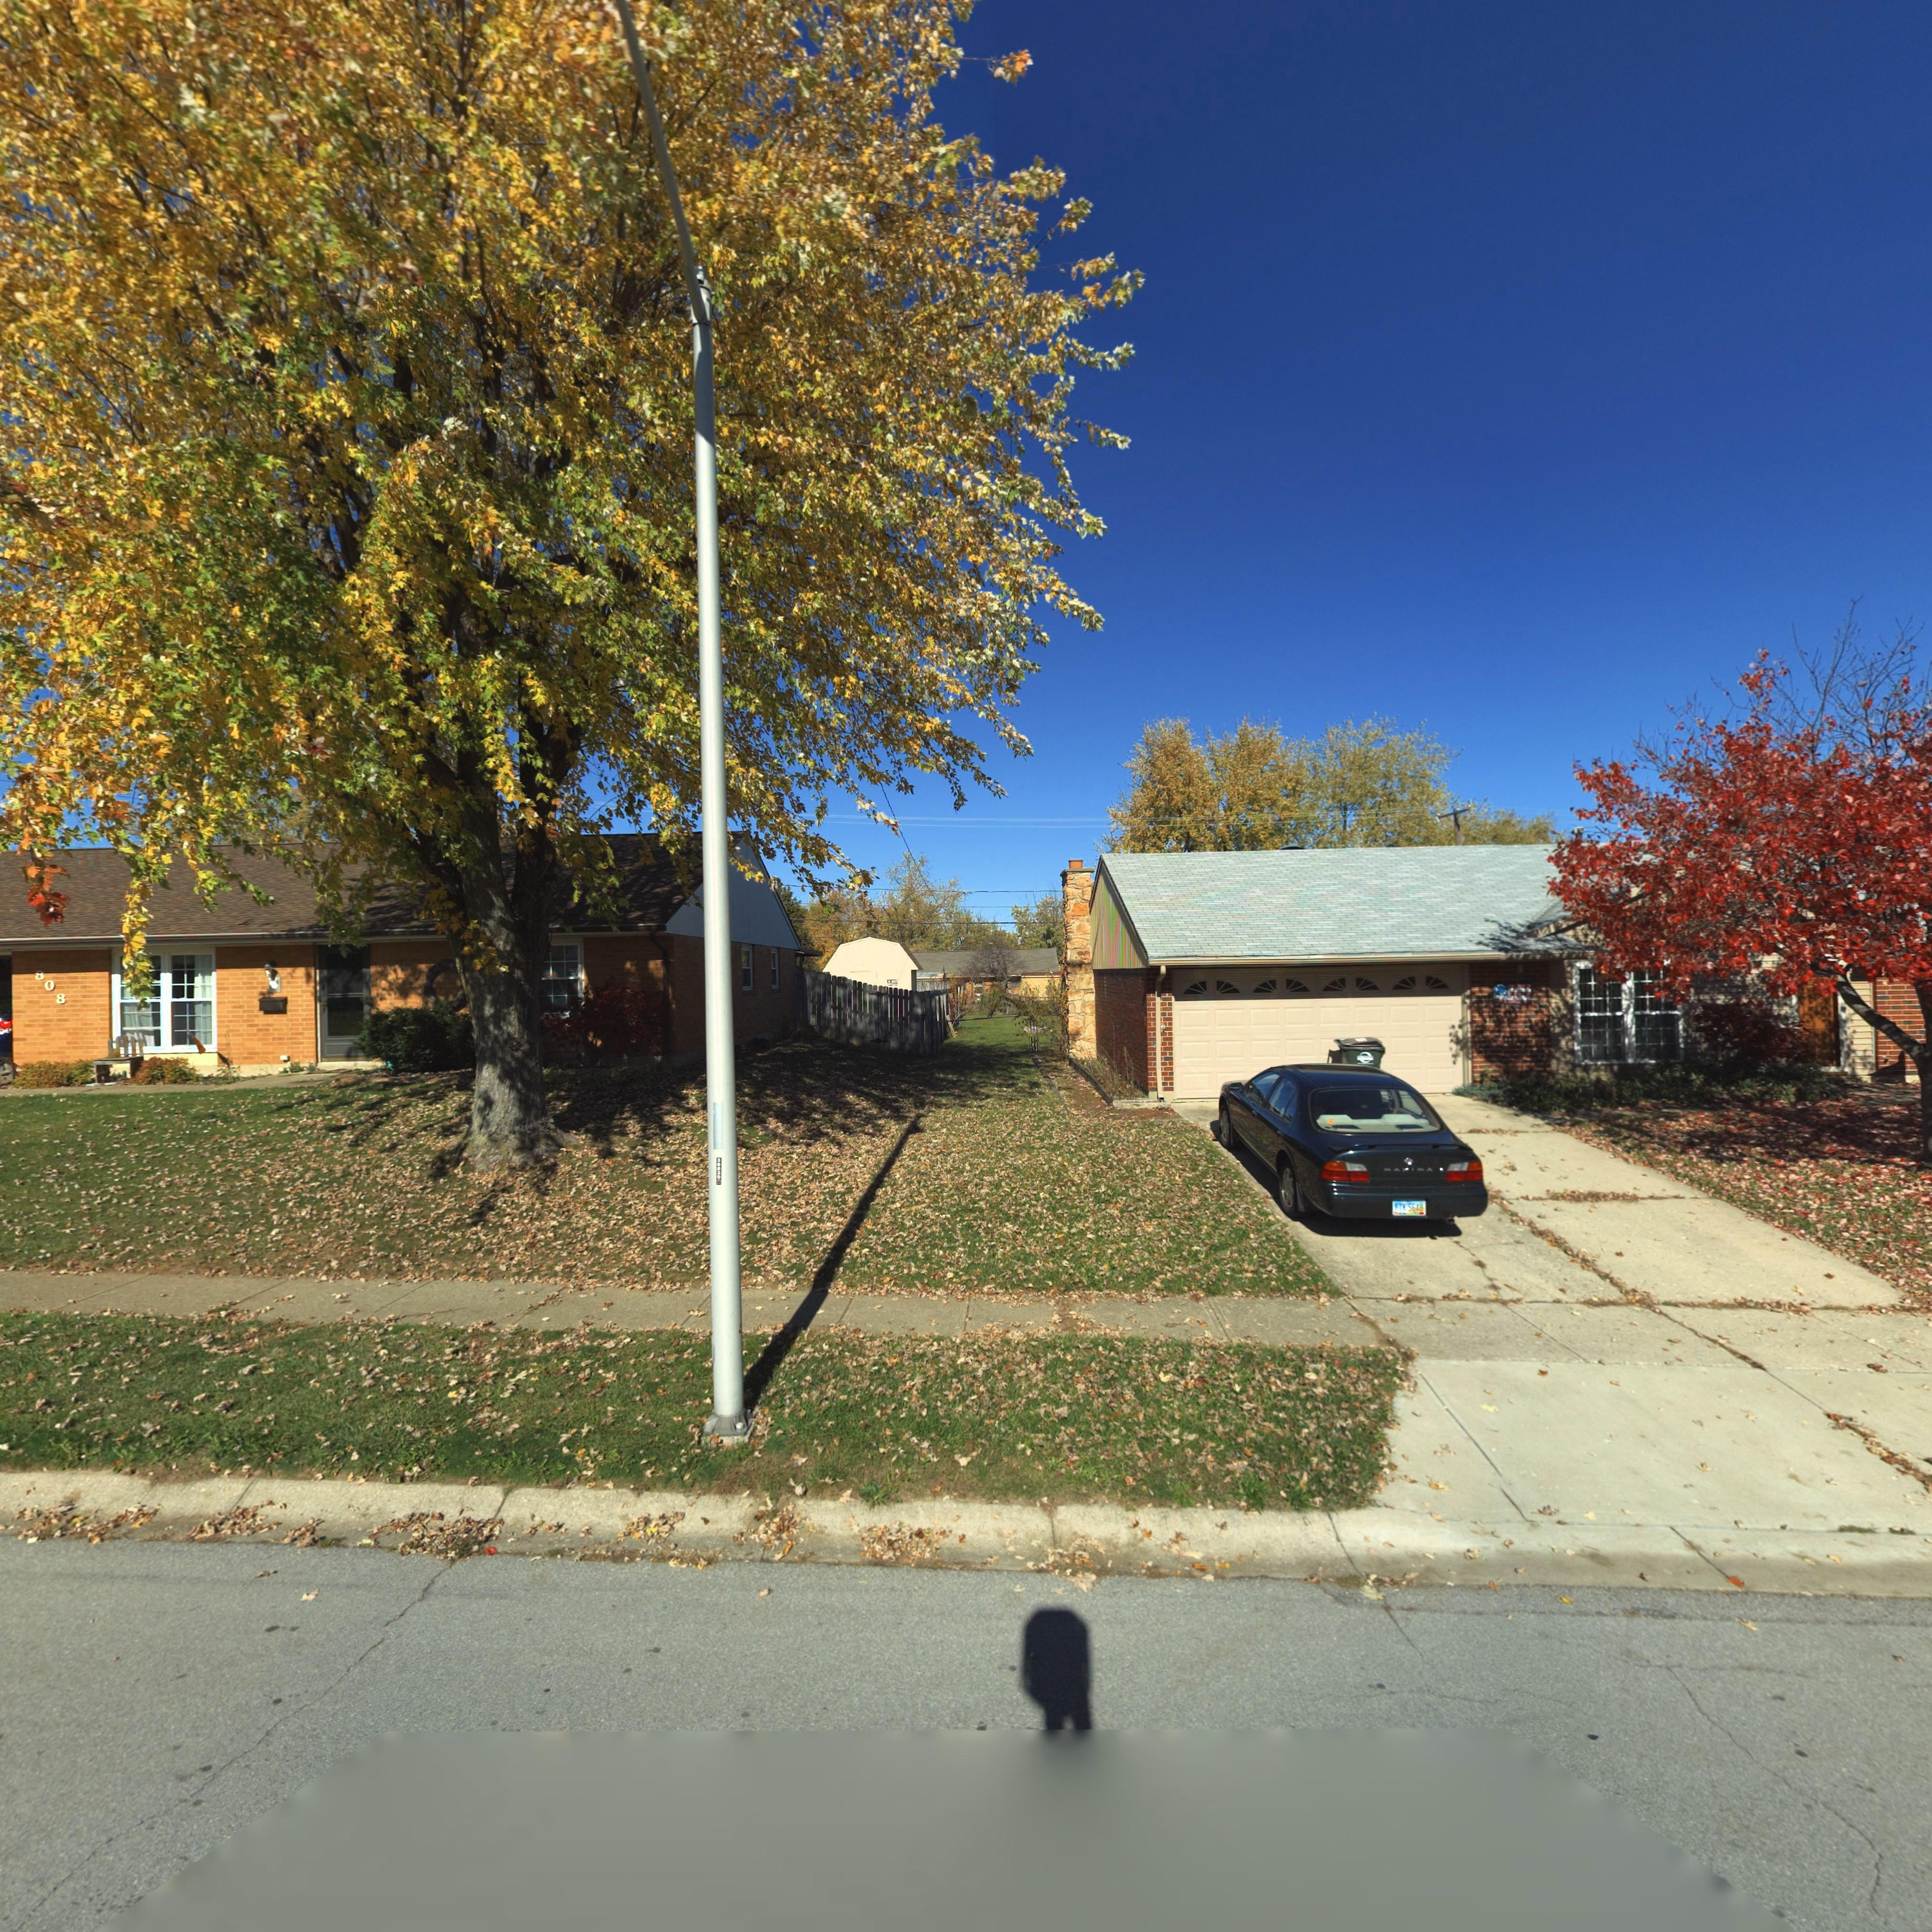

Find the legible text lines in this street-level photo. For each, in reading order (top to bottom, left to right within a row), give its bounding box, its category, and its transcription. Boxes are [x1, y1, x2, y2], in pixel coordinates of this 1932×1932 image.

[34, 969, 66, 1005] StreetNumber: 808